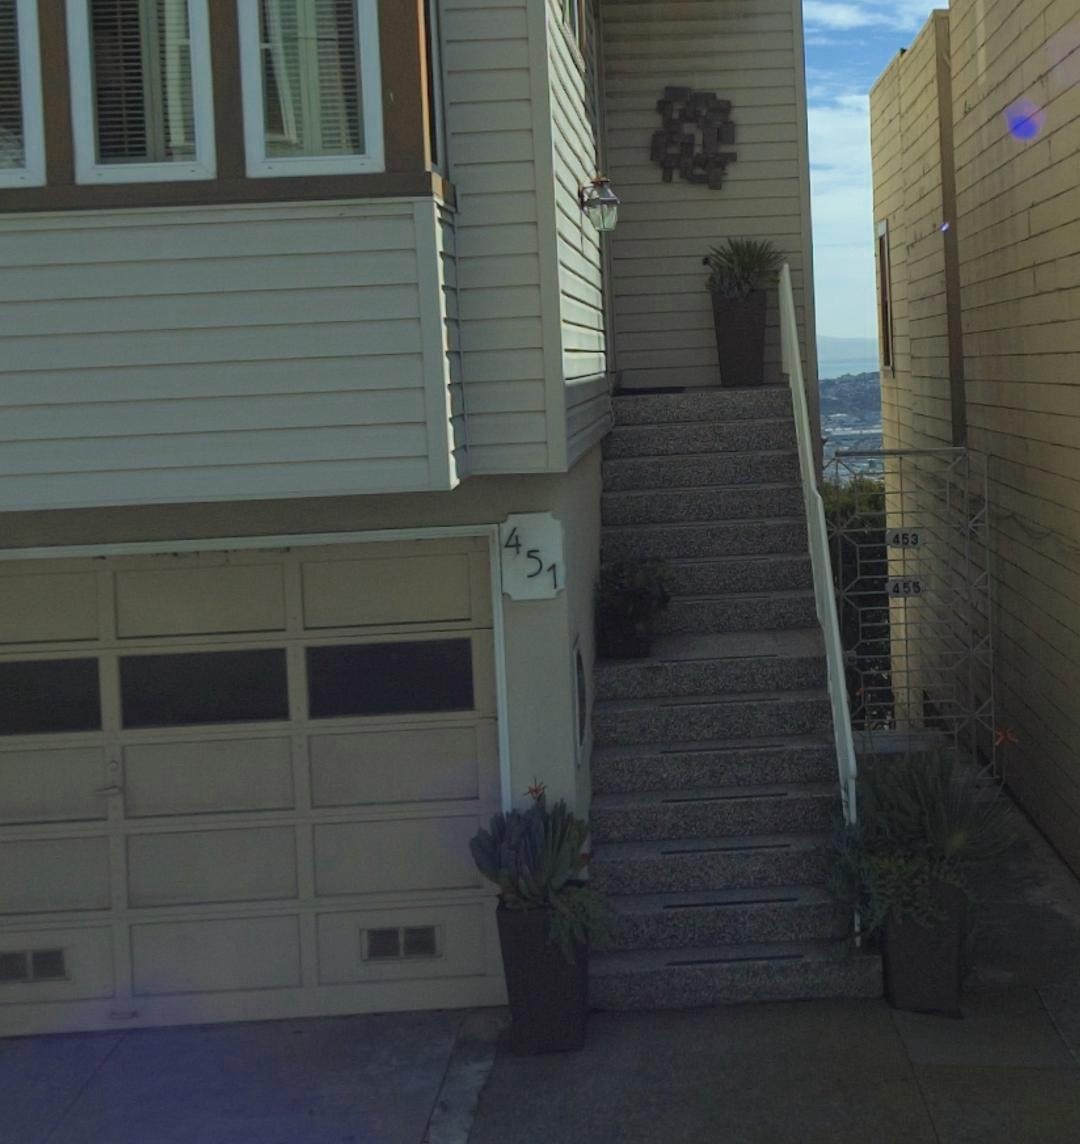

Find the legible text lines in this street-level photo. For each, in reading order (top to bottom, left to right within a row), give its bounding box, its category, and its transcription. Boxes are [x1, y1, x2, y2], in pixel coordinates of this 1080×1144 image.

[891, 531, 921, 546] StreetNumber: 453
[501, 524, 564, 596] StreetNumber: 451
[892, 580, 922, 595] StreetNumber: 455